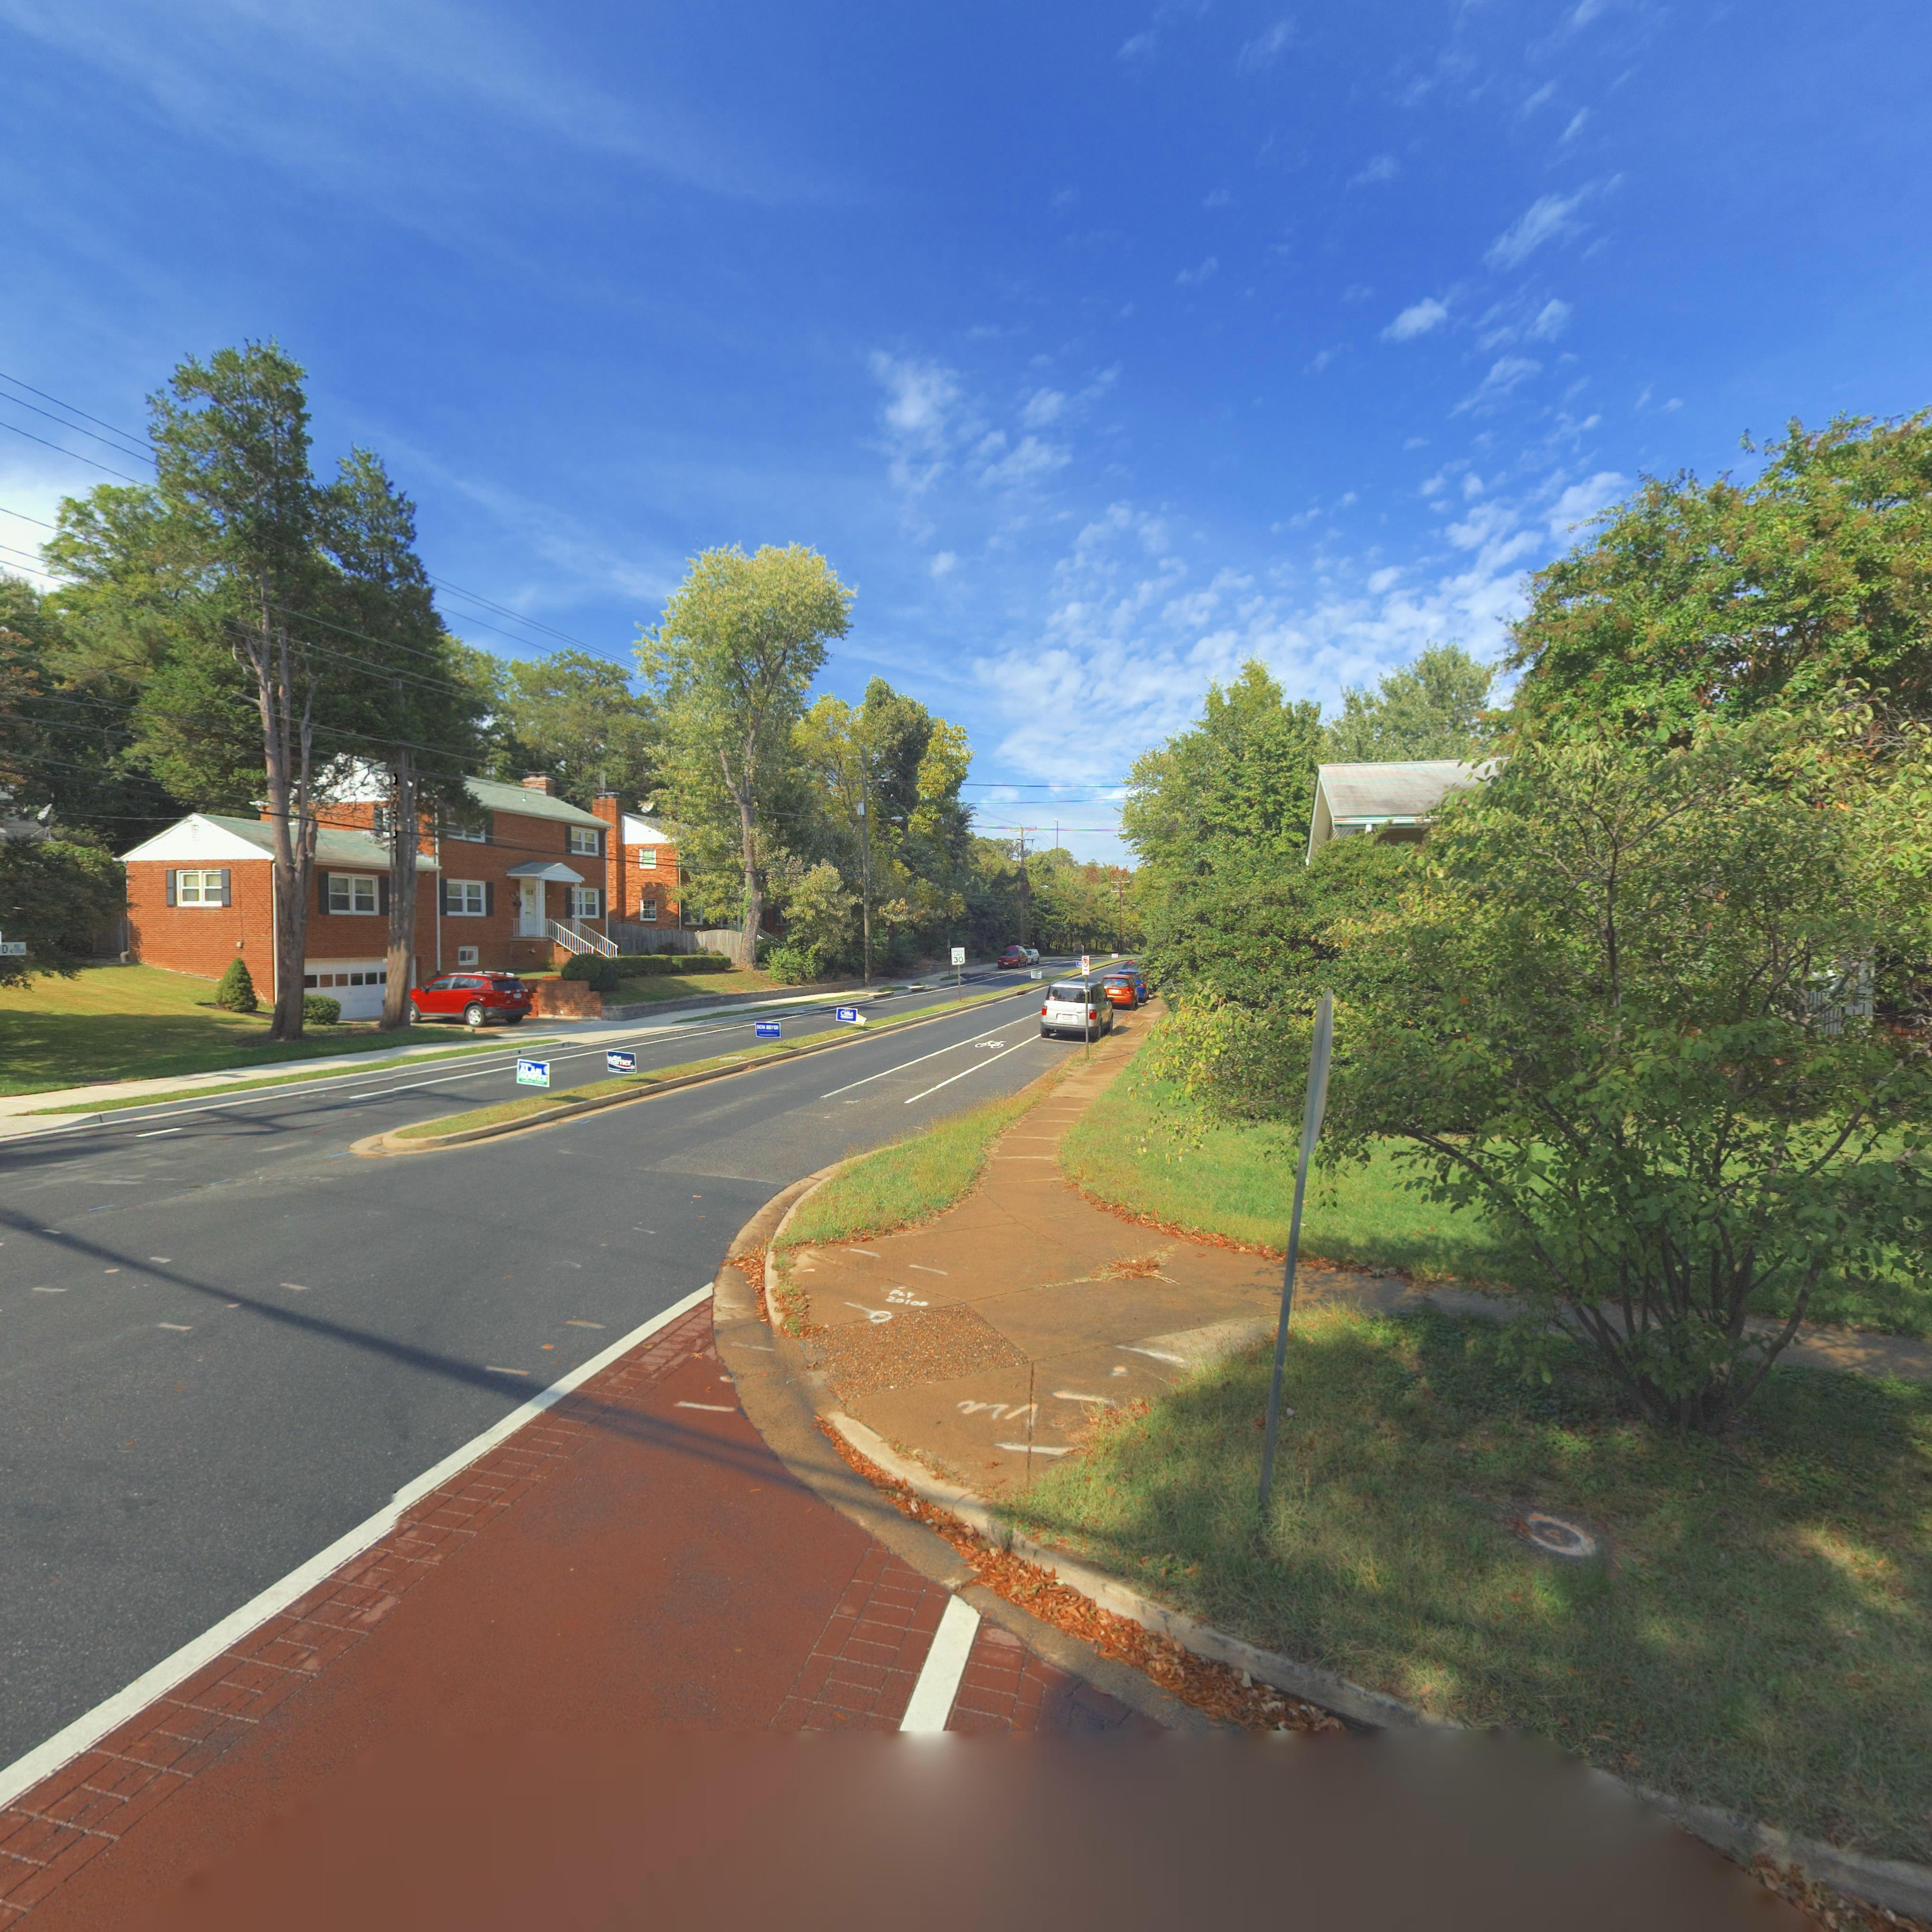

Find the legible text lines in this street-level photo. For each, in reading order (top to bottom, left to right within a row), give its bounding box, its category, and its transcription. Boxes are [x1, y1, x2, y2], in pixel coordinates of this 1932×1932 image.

[0, 943, 10, 955] StreetName: D
[952, 955, 965, 964] None: 30
[756, 1023, 780, 1031] None: DON BEYER
[605, 1054, 634, 1067] None: Warner
[518, 1065, 543, 1077] None: ALAN